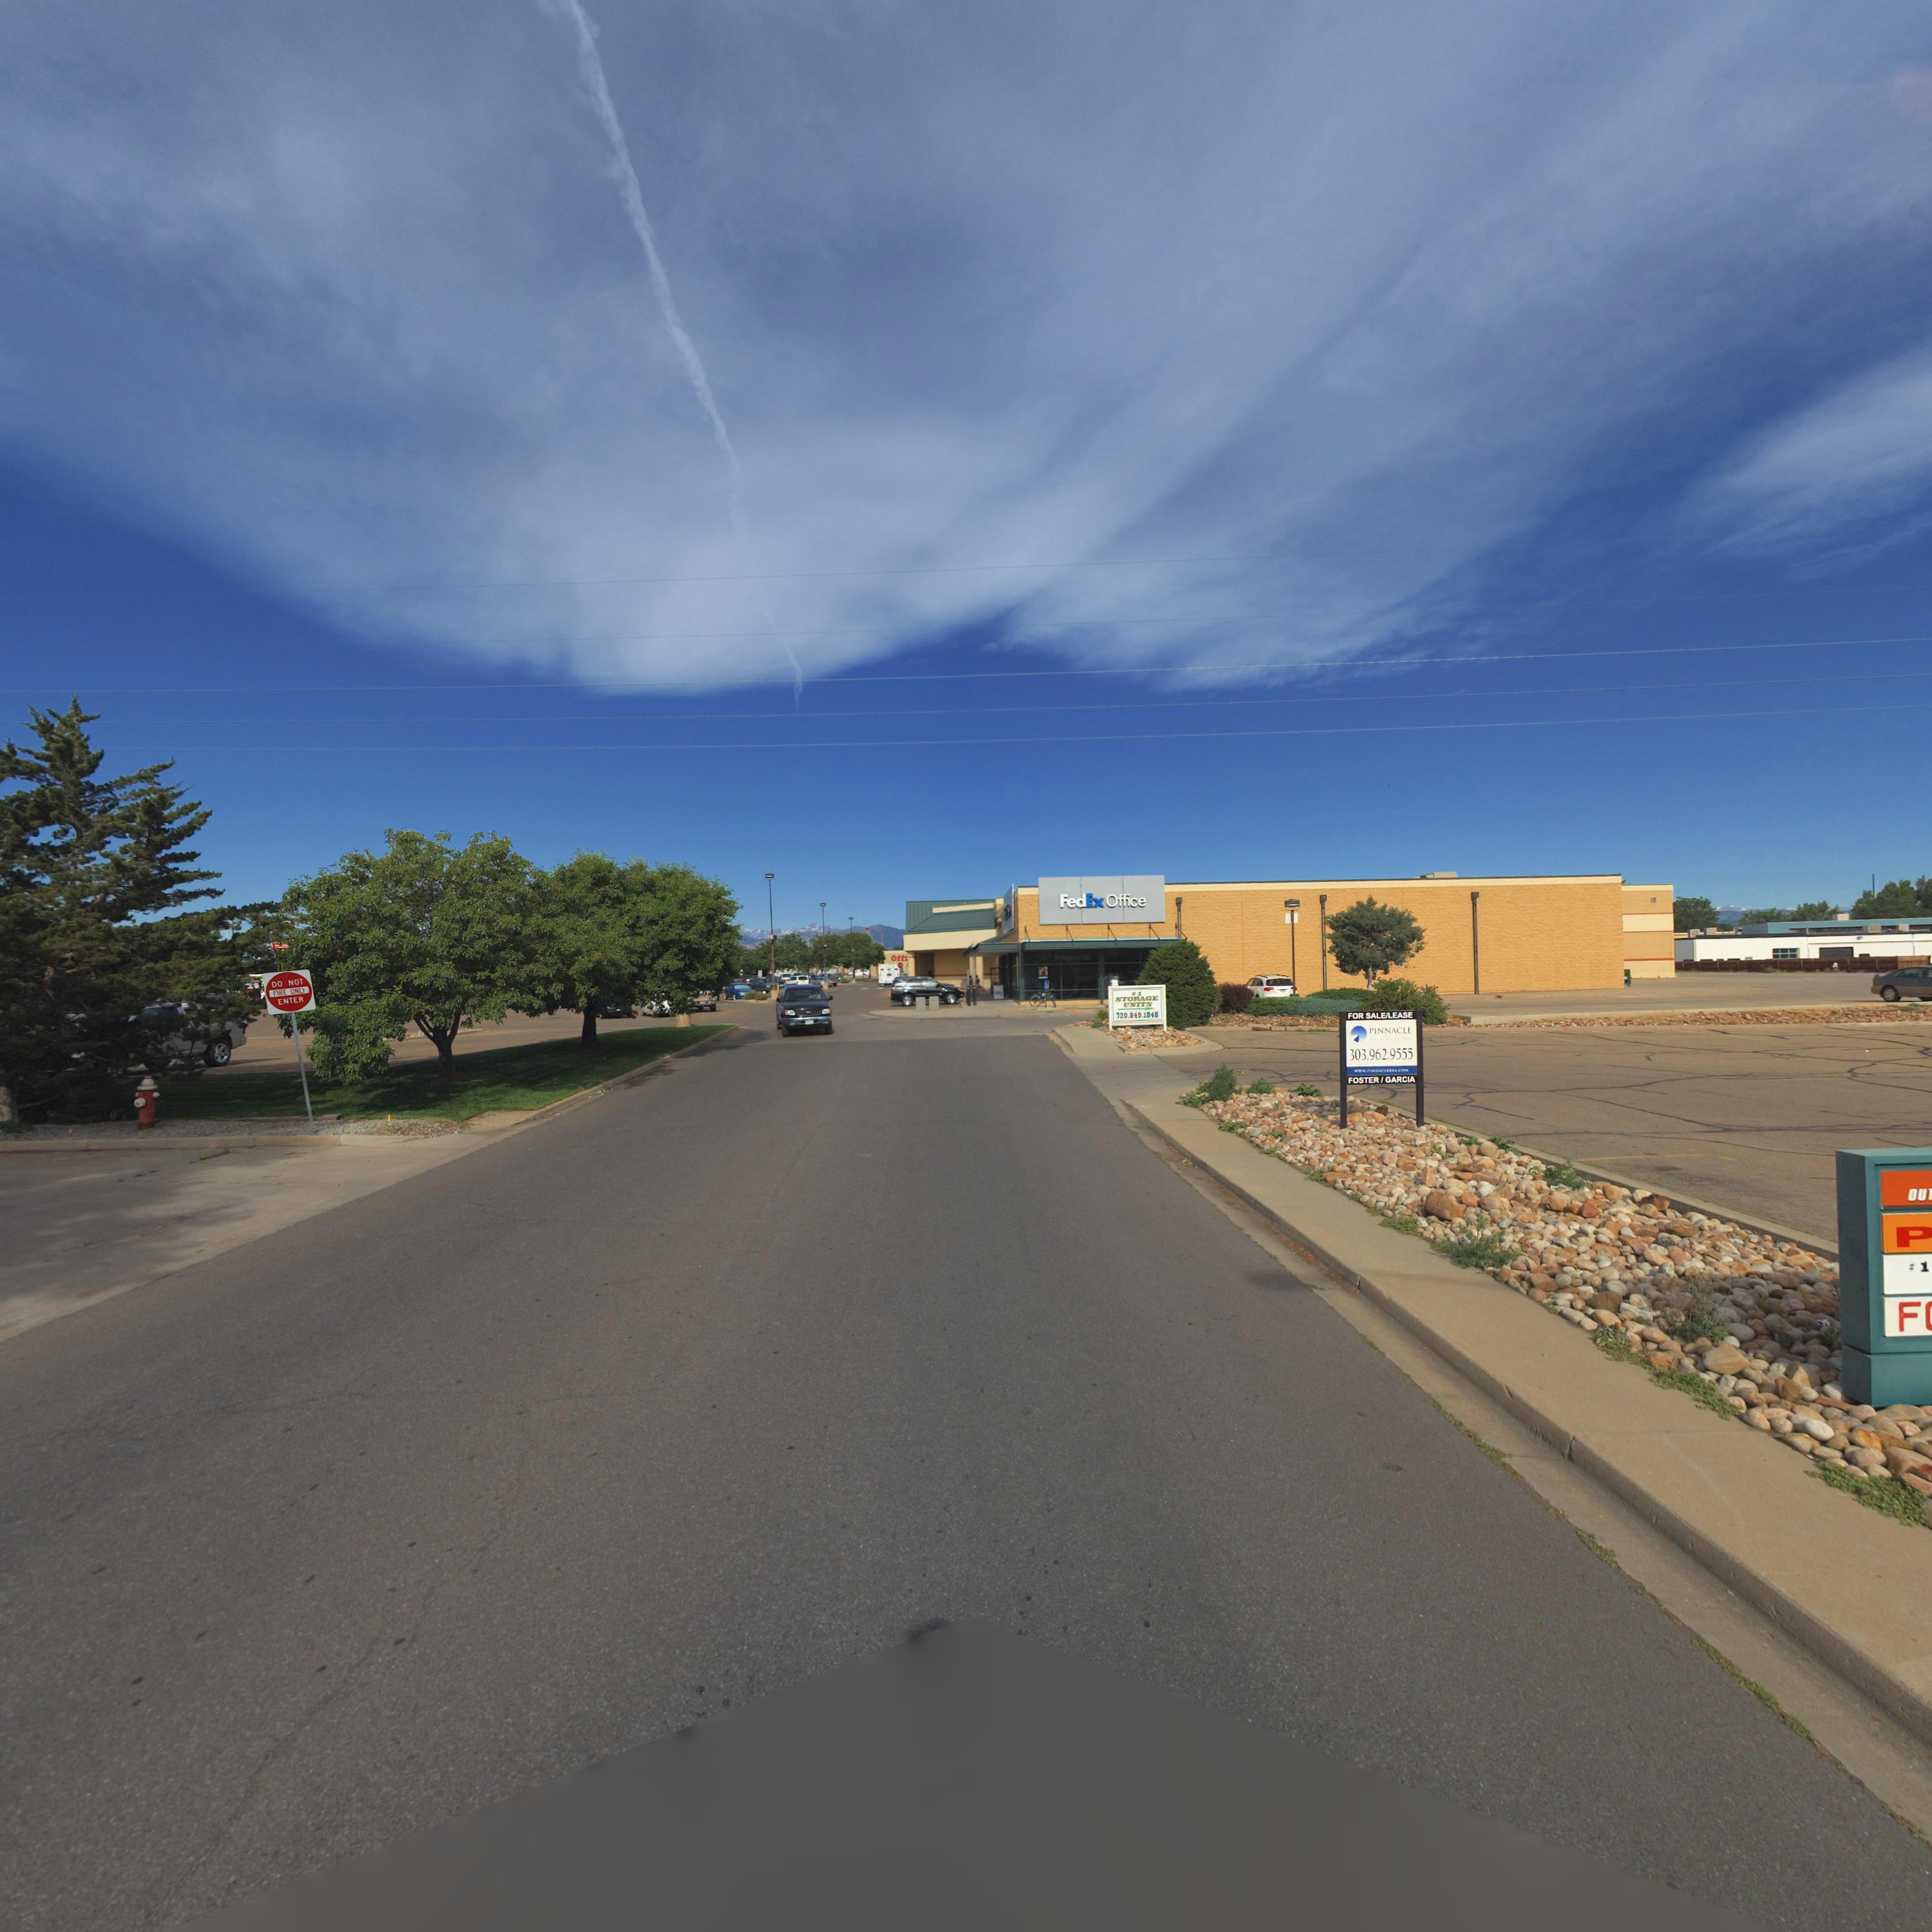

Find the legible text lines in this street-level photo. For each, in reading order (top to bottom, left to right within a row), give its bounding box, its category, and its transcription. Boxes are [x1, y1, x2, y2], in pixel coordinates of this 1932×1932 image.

[1059, 892, 1147, 908] BusinessName: FedEx Office
[891, 955, 908, 961] BusinessName: Offi
[1131, 991, 1141, 996] BusinessName: *1
[1115, 995, 1159, 1002] BusinessName: STORAGE
[1123, 1002, 1153, 1007] BusinessName: UNITS
[1907, 1188, 1928, 1201] BusinessName: ou
[1908, 1260, 1929, 1272] BusinessName: *1